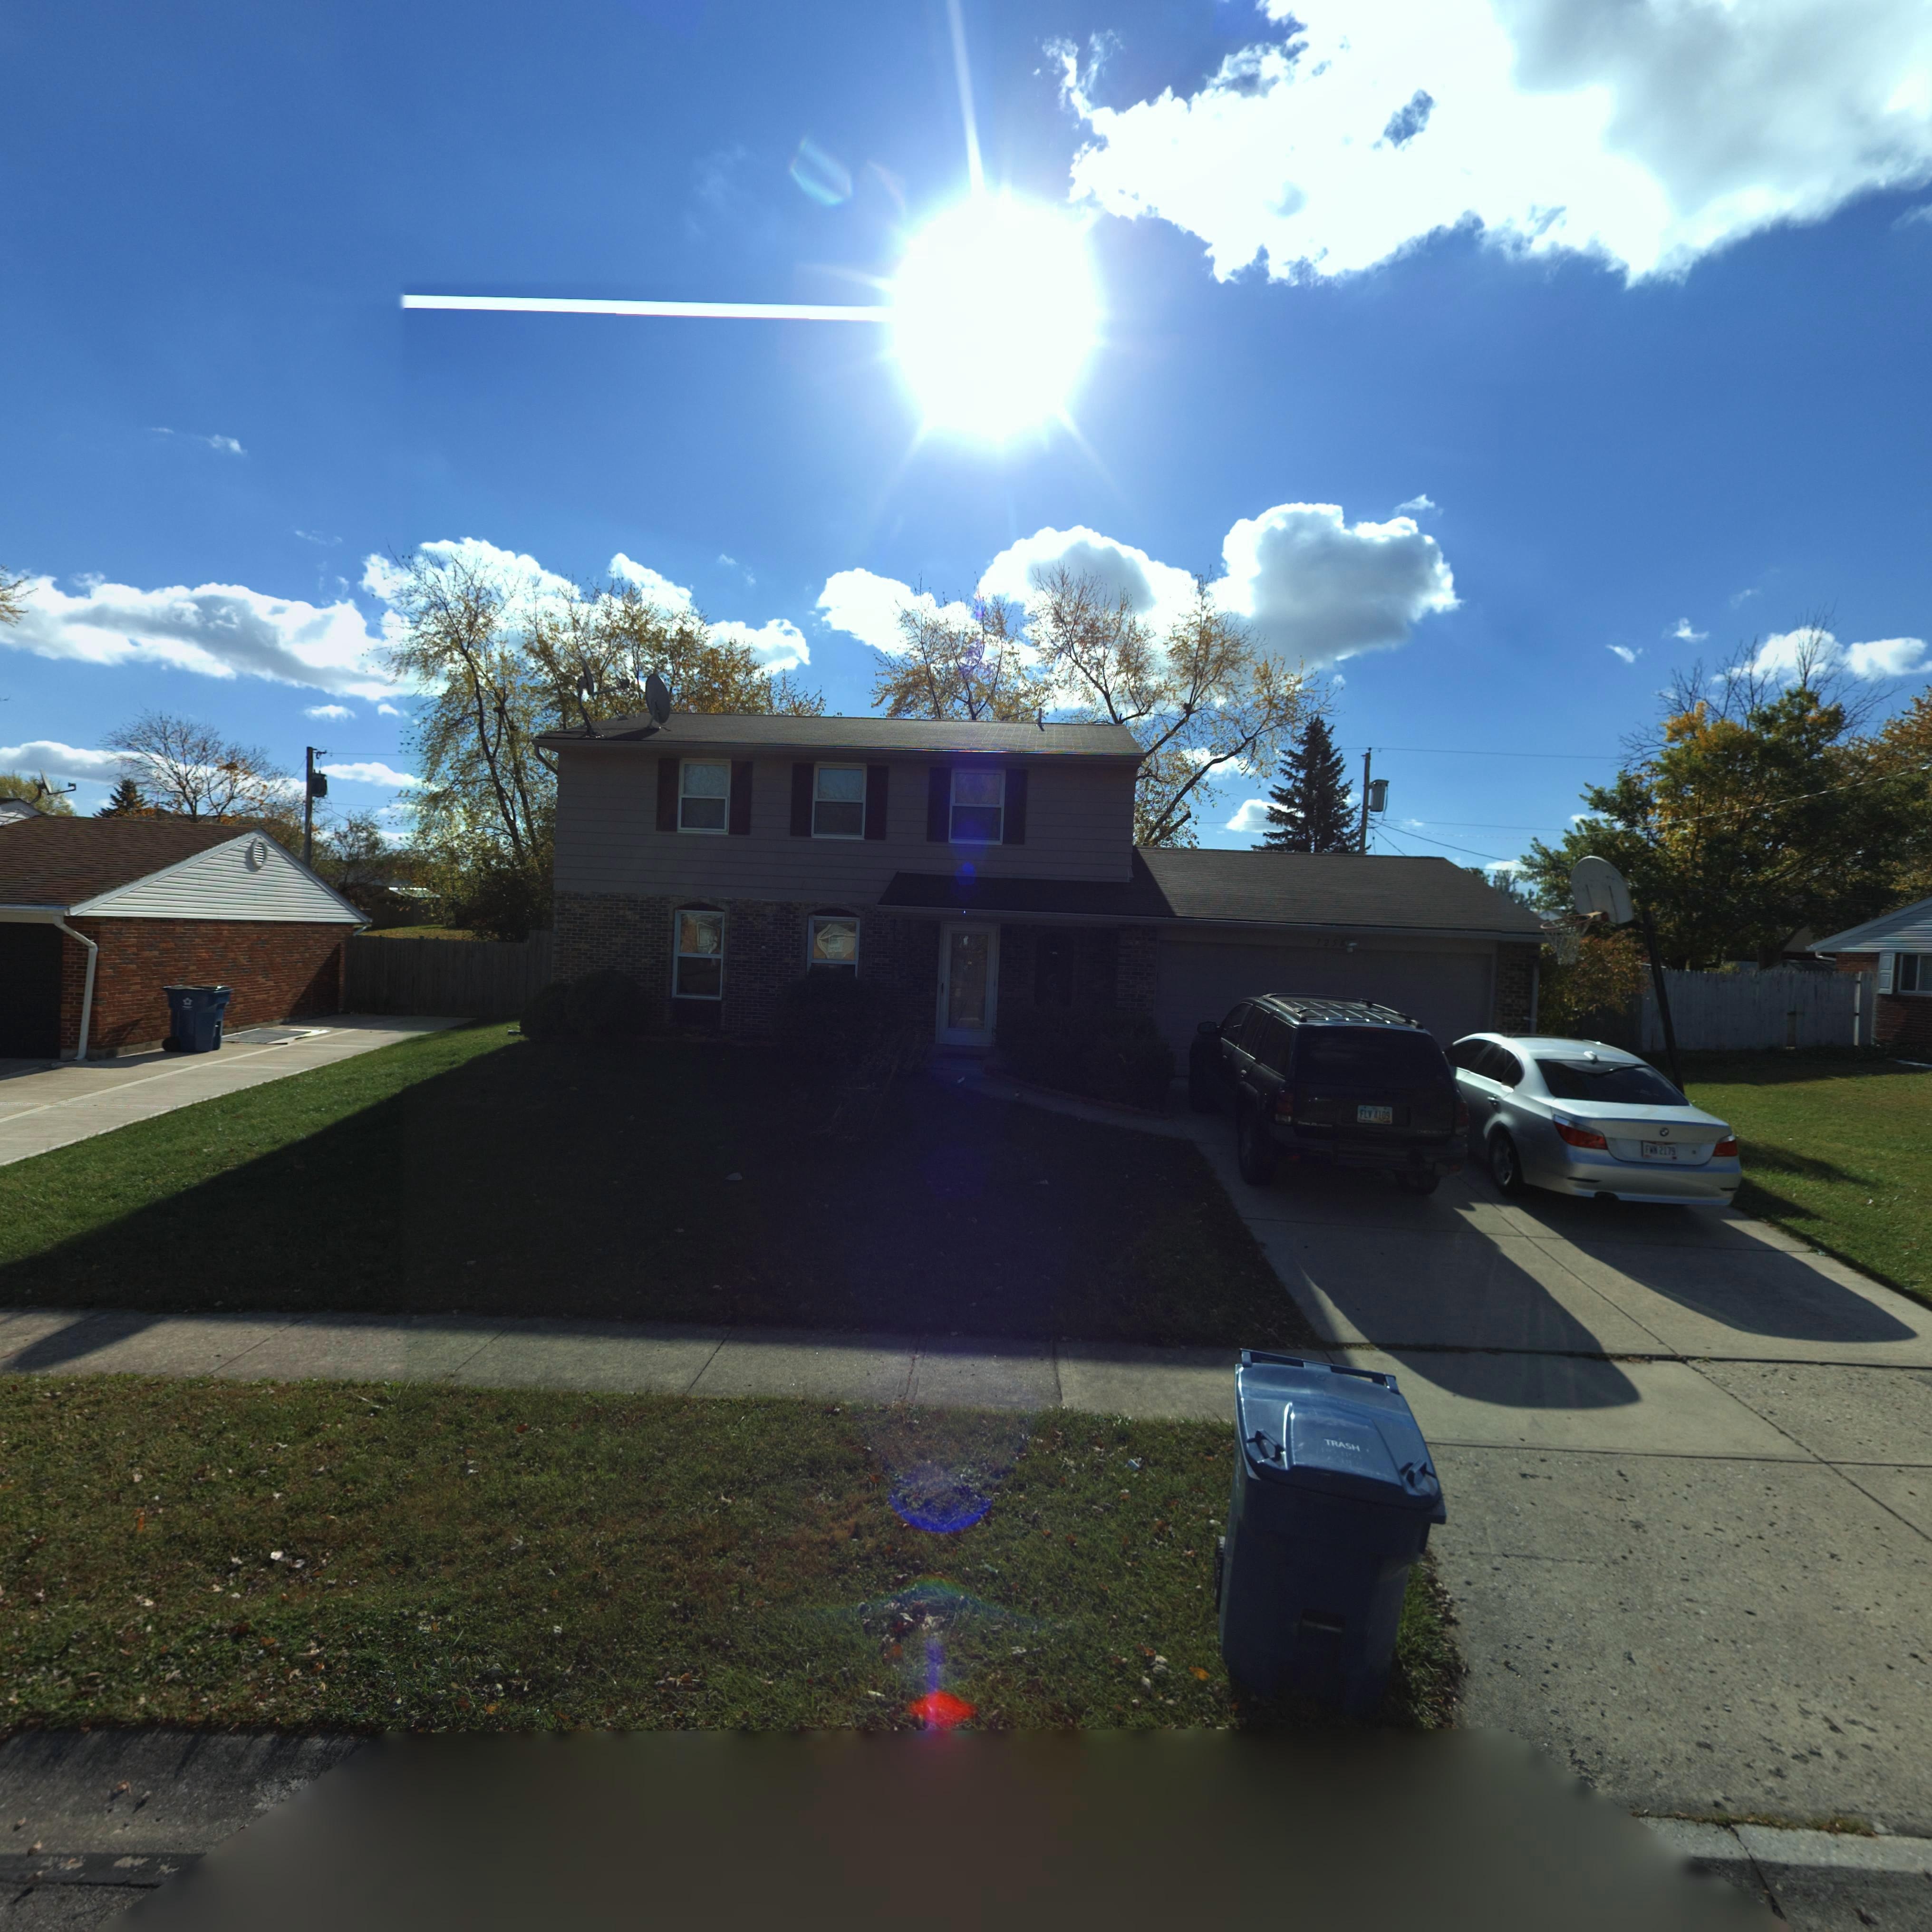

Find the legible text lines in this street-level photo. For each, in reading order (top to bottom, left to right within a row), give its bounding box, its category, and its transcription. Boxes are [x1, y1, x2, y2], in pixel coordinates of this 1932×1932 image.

[1315, 937, 1340, 948] StreetNumber: 725